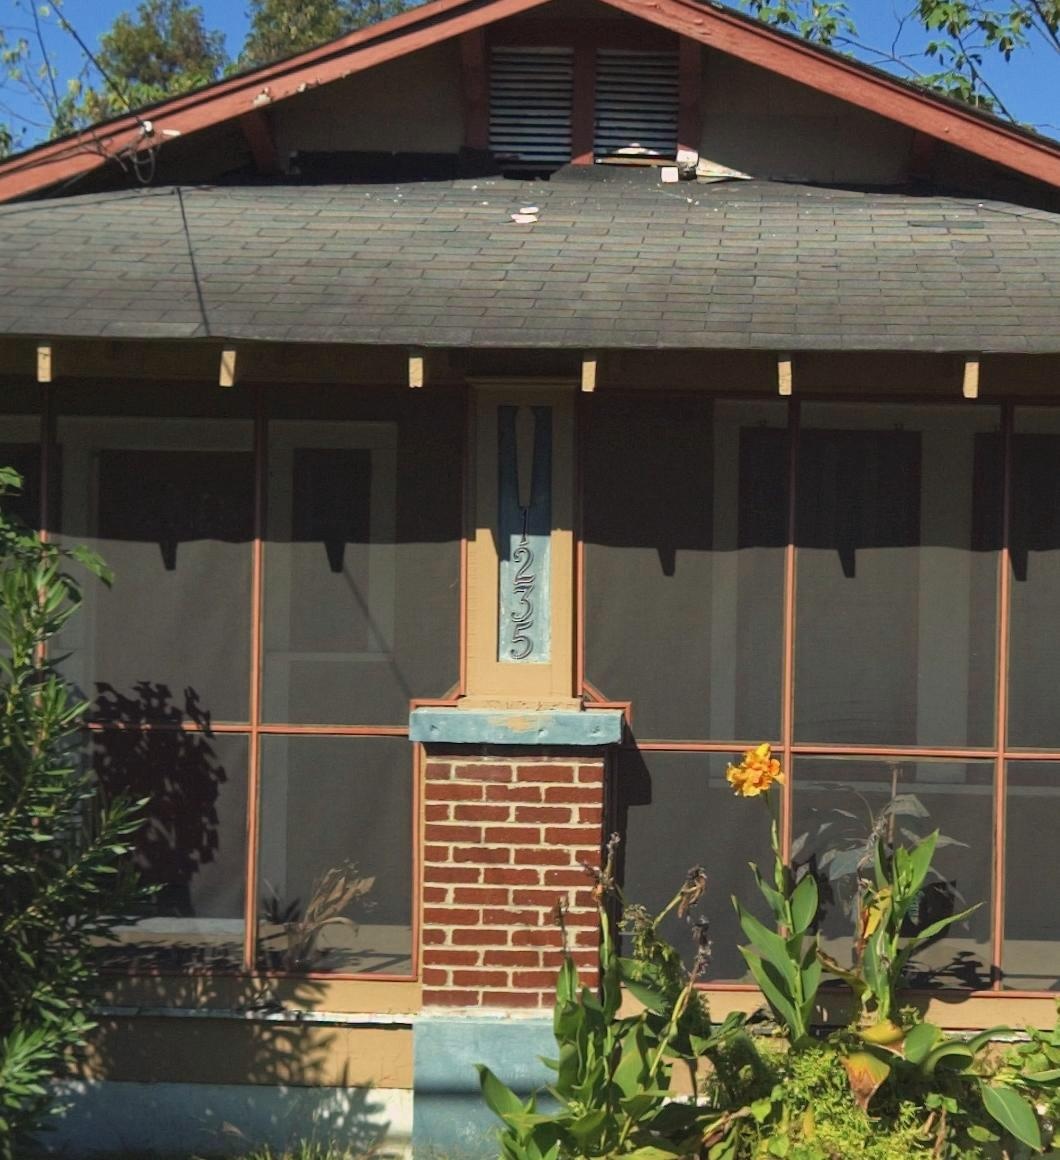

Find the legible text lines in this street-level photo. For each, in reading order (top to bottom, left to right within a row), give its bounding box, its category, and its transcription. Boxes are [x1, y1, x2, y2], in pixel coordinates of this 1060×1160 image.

[507, 502, 538, 663] StreetNumber: 1235